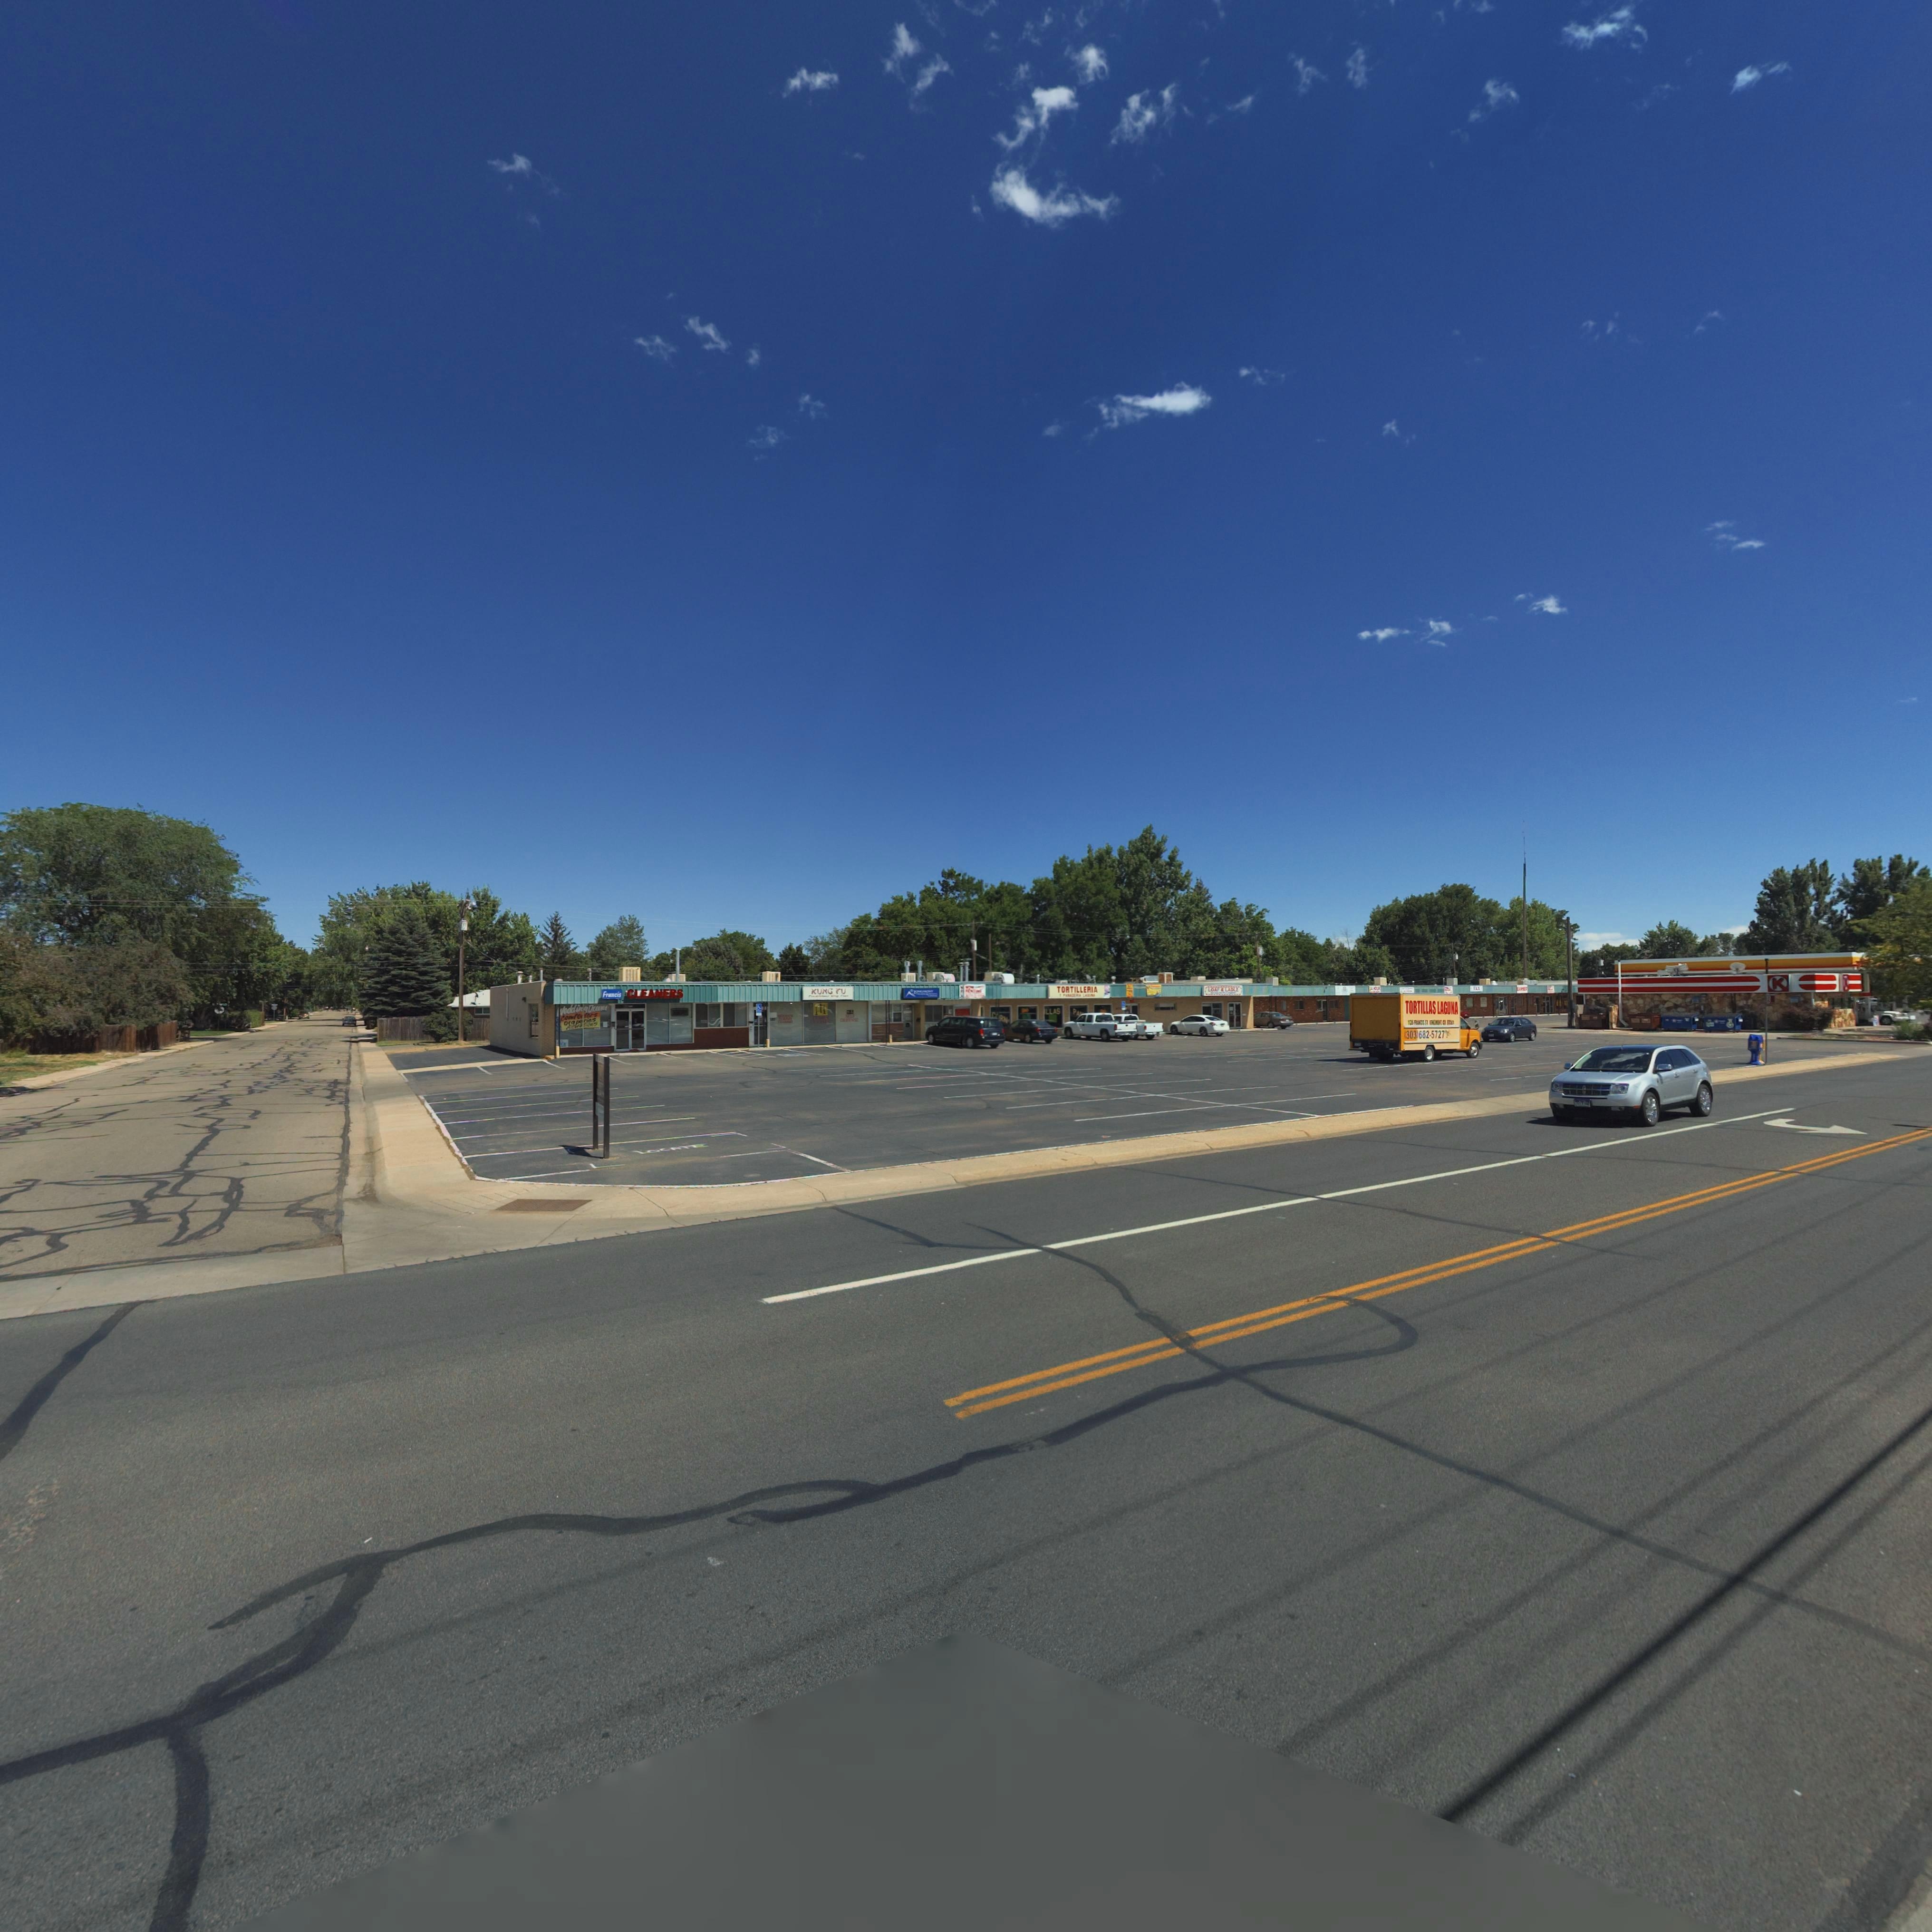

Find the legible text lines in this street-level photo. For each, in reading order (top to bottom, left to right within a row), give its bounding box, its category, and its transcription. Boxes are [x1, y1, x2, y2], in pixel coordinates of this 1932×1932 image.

[602, 990, 621, 997] BusinessName: Francis
[626, 988, 683, 998] BusinessName: CLEANERS
[811, 988, 846, 995] BusinessName: KUNG FU
[1057, 986, 1098, 993] BusinessName: TORTILLERIA
[1208, 987, 1238, 992] BusinessName: LOAF*LADLE